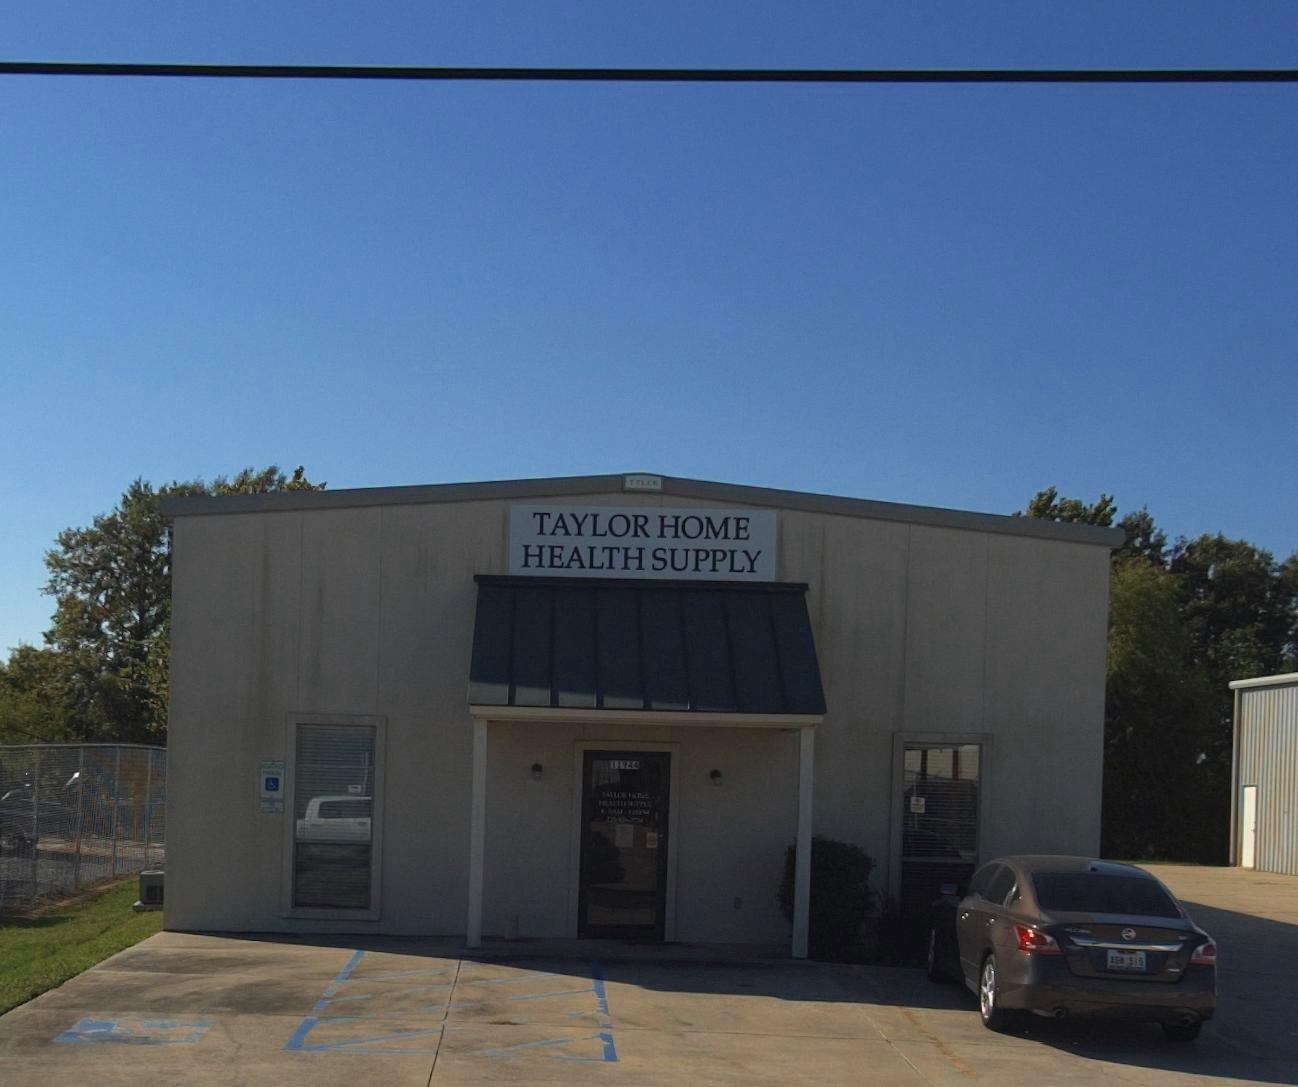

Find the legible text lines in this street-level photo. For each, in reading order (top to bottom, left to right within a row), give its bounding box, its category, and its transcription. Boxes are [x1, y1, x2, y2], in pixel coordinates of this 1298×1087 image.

[627, 477, 661, 489] None: TYLER
[529, 509, 753, 542] BusinessName: TAYLOR HOME
[519, 542, 765, 575] BusinessName: HEALTH SUPPLY
[609, 759, 641, 770] StreetNumber: 11944
[1132, 954, 1145, 968] None: 19